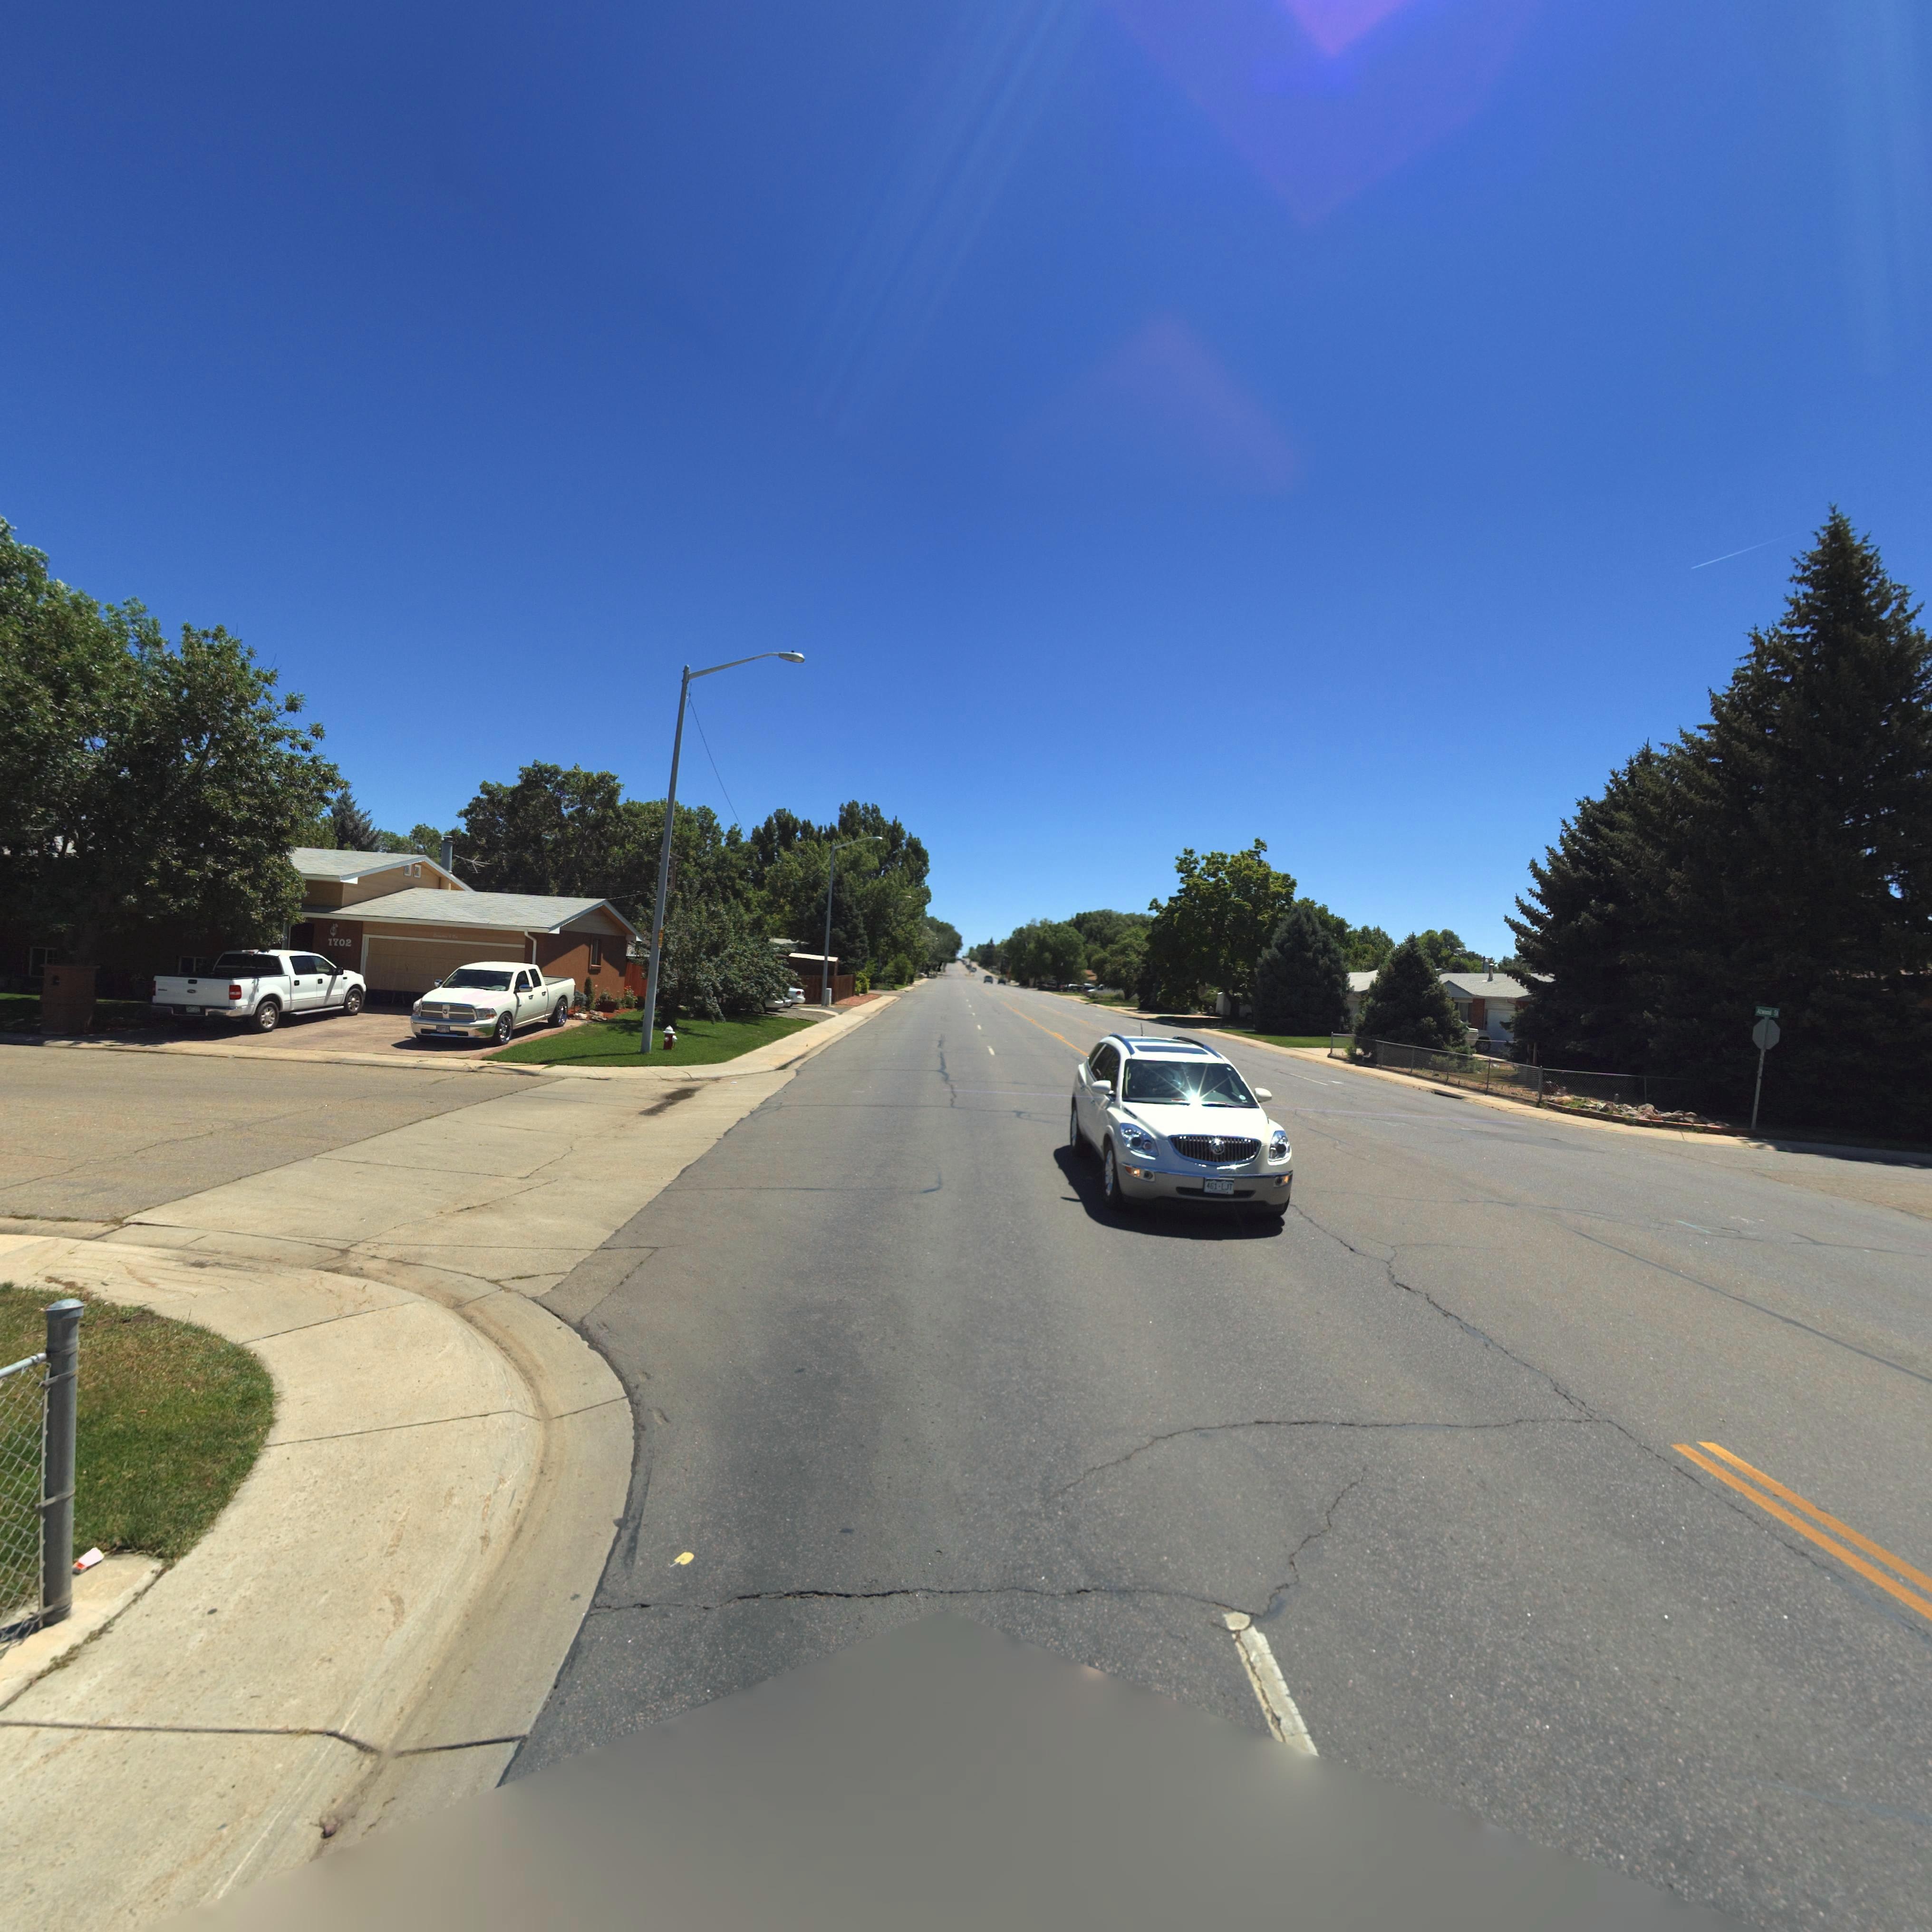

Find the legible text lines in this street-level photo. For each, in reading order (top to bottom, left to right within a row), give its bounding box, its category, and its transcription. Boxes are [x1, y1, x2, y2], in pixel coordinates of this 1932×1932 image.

[328, 938, 351, 947] StreetNumber: 1702
[1756, 1007, 1778, 1017] StreetName: A***d S*